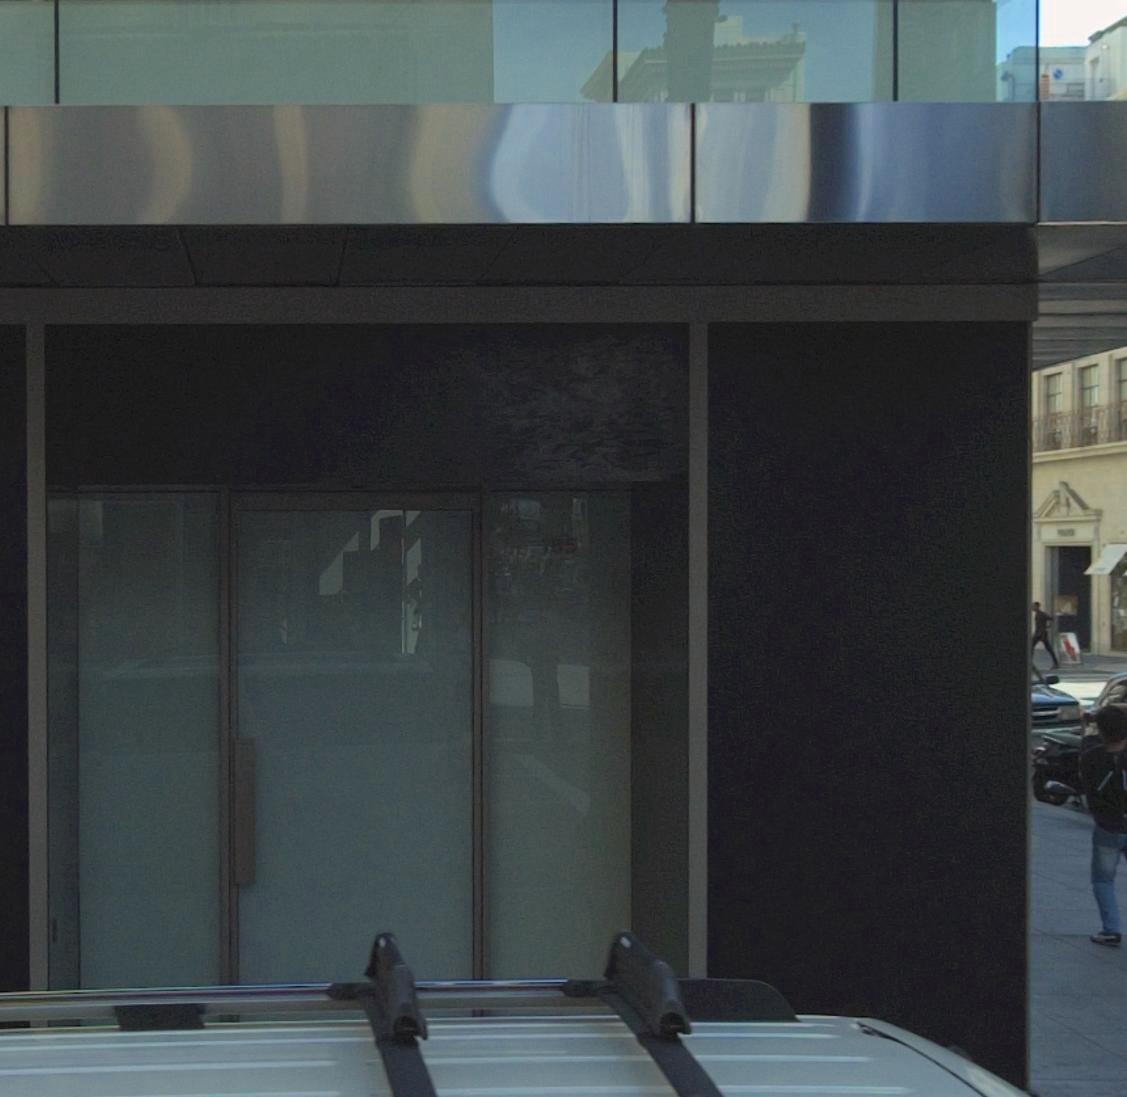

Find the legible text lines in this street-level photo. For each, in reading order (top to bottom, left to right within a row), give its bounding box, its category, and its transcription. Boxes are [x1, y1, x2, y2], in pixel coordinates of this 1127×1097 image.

[542, 536, 580, 557] StreetNumber: 1*5